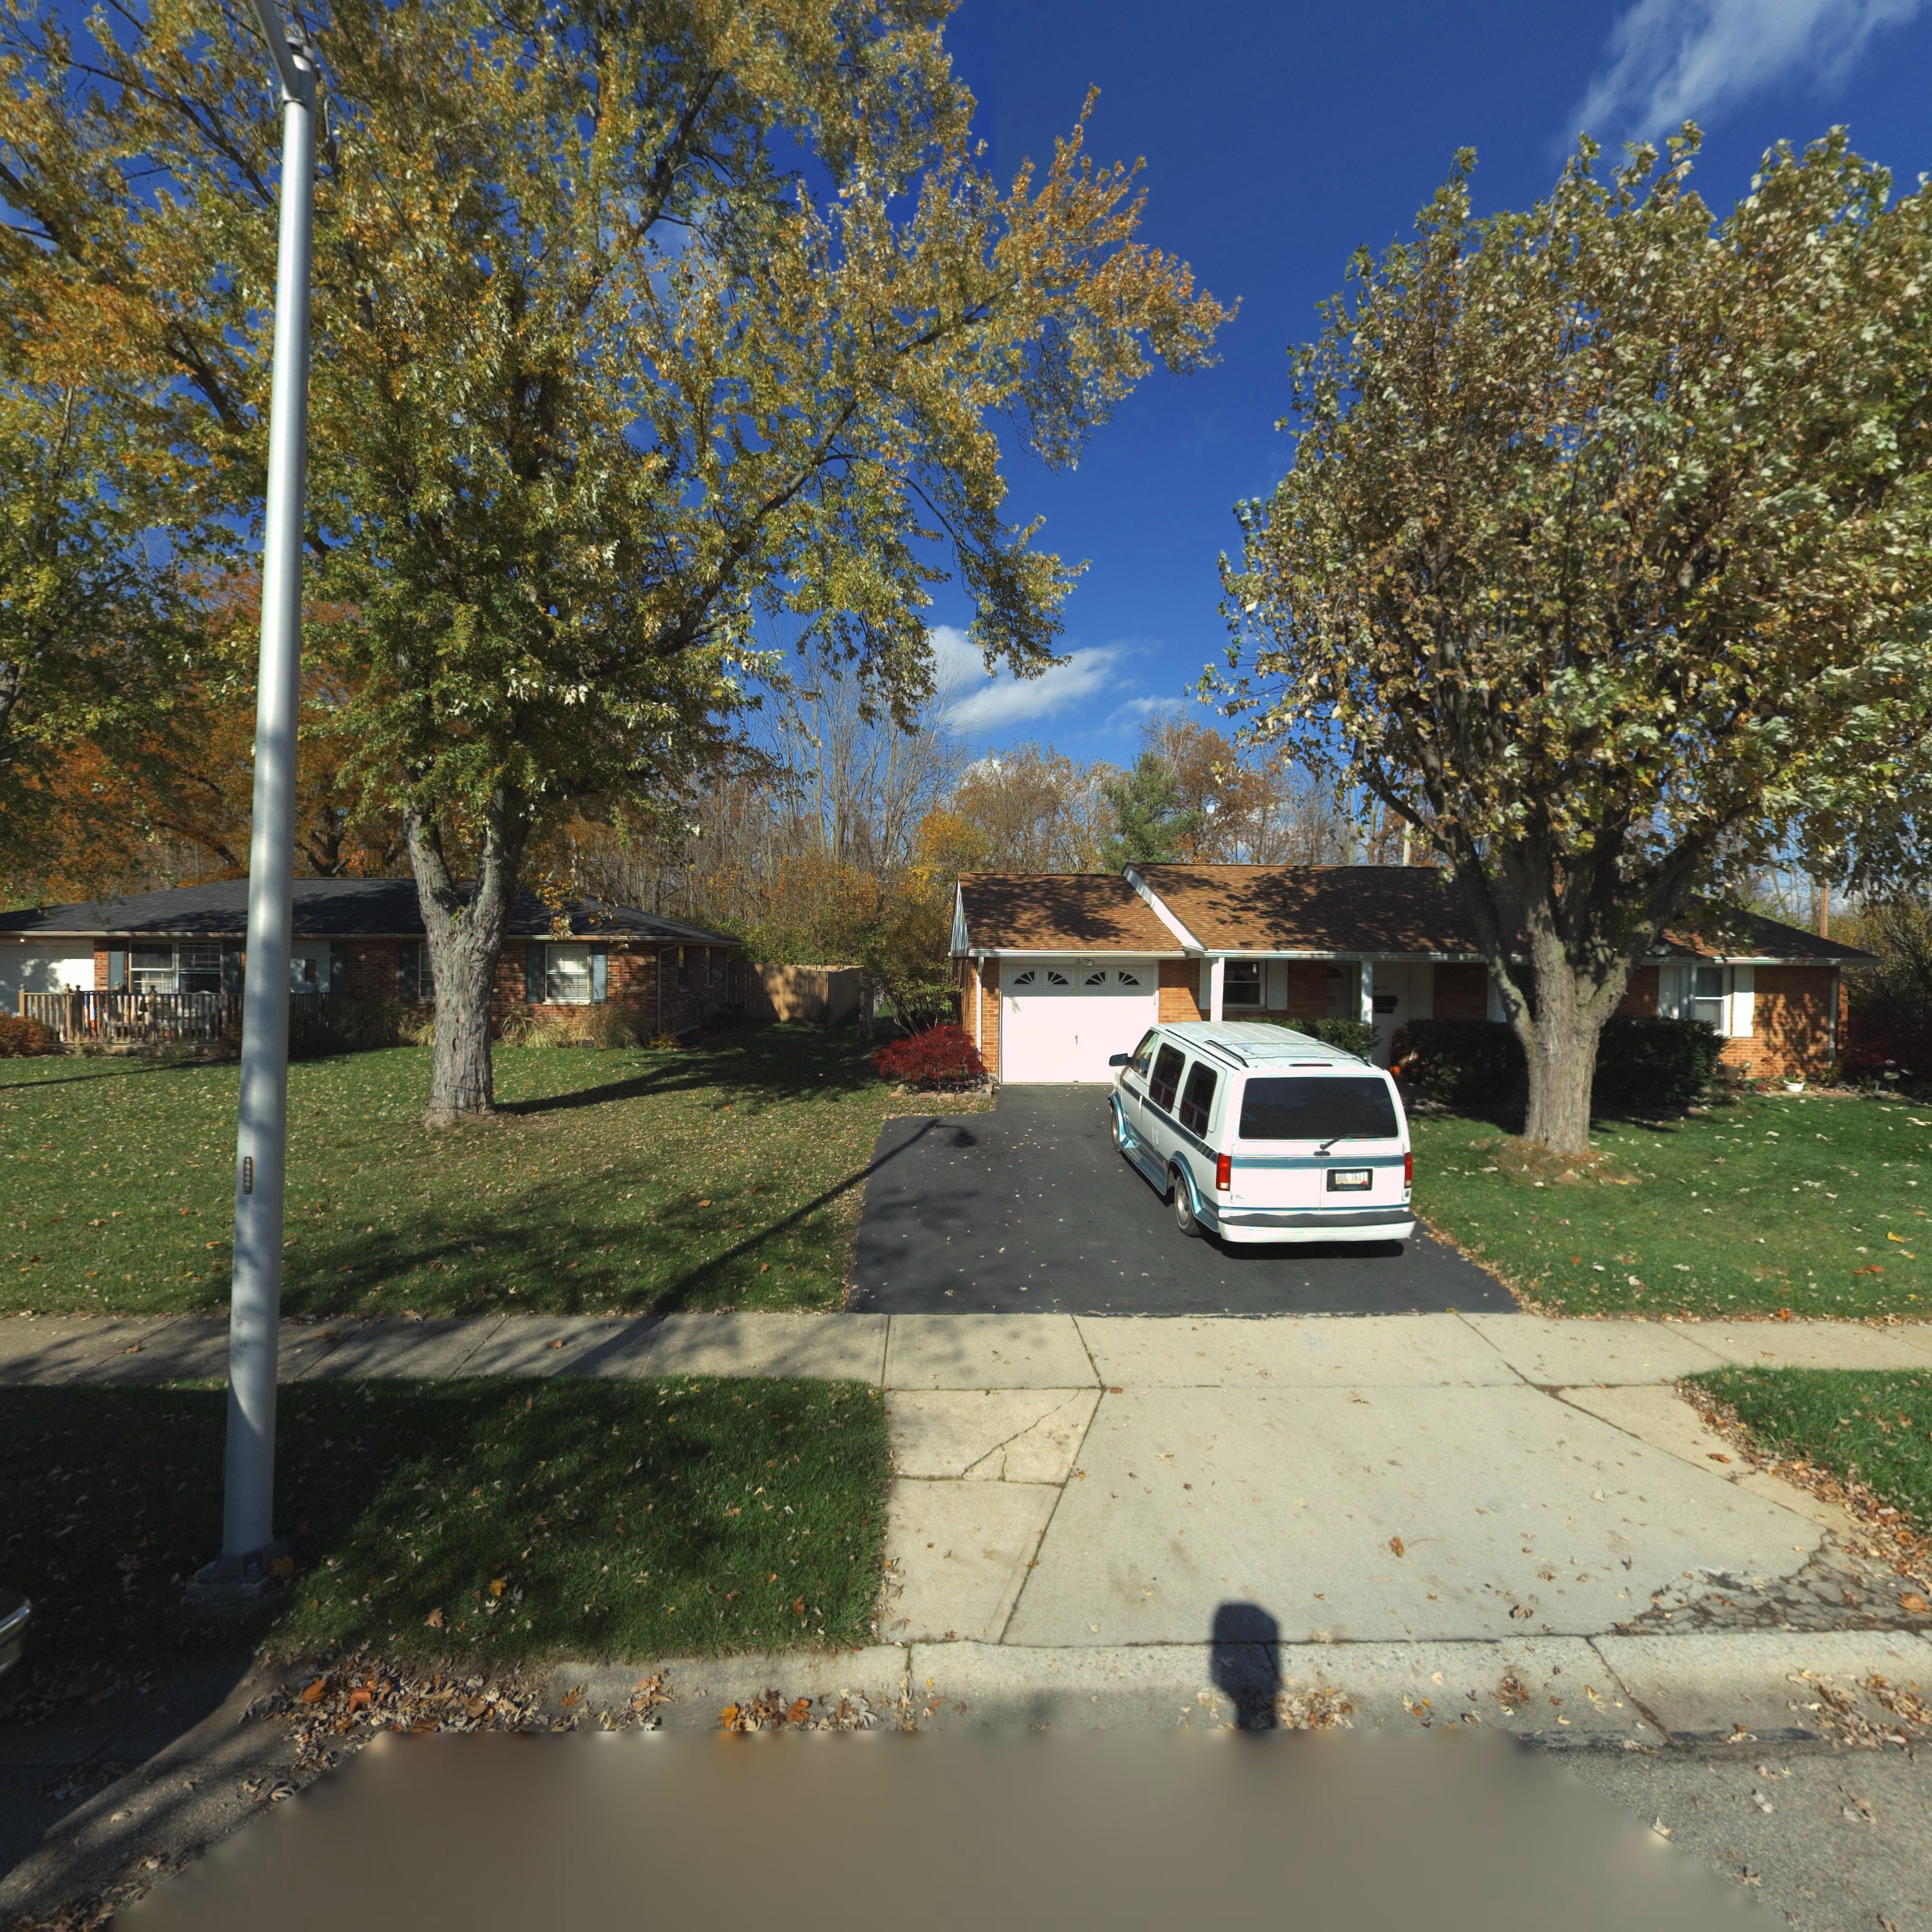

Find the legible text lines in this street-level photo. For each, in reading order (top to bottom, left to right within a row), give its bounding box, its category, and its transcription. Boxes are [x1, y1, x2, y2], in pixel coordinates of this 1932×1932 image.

[30, 939, 39, 947] StreetNumber: 51
[1372, 984, 1389, 990] StreetNumber: 6655